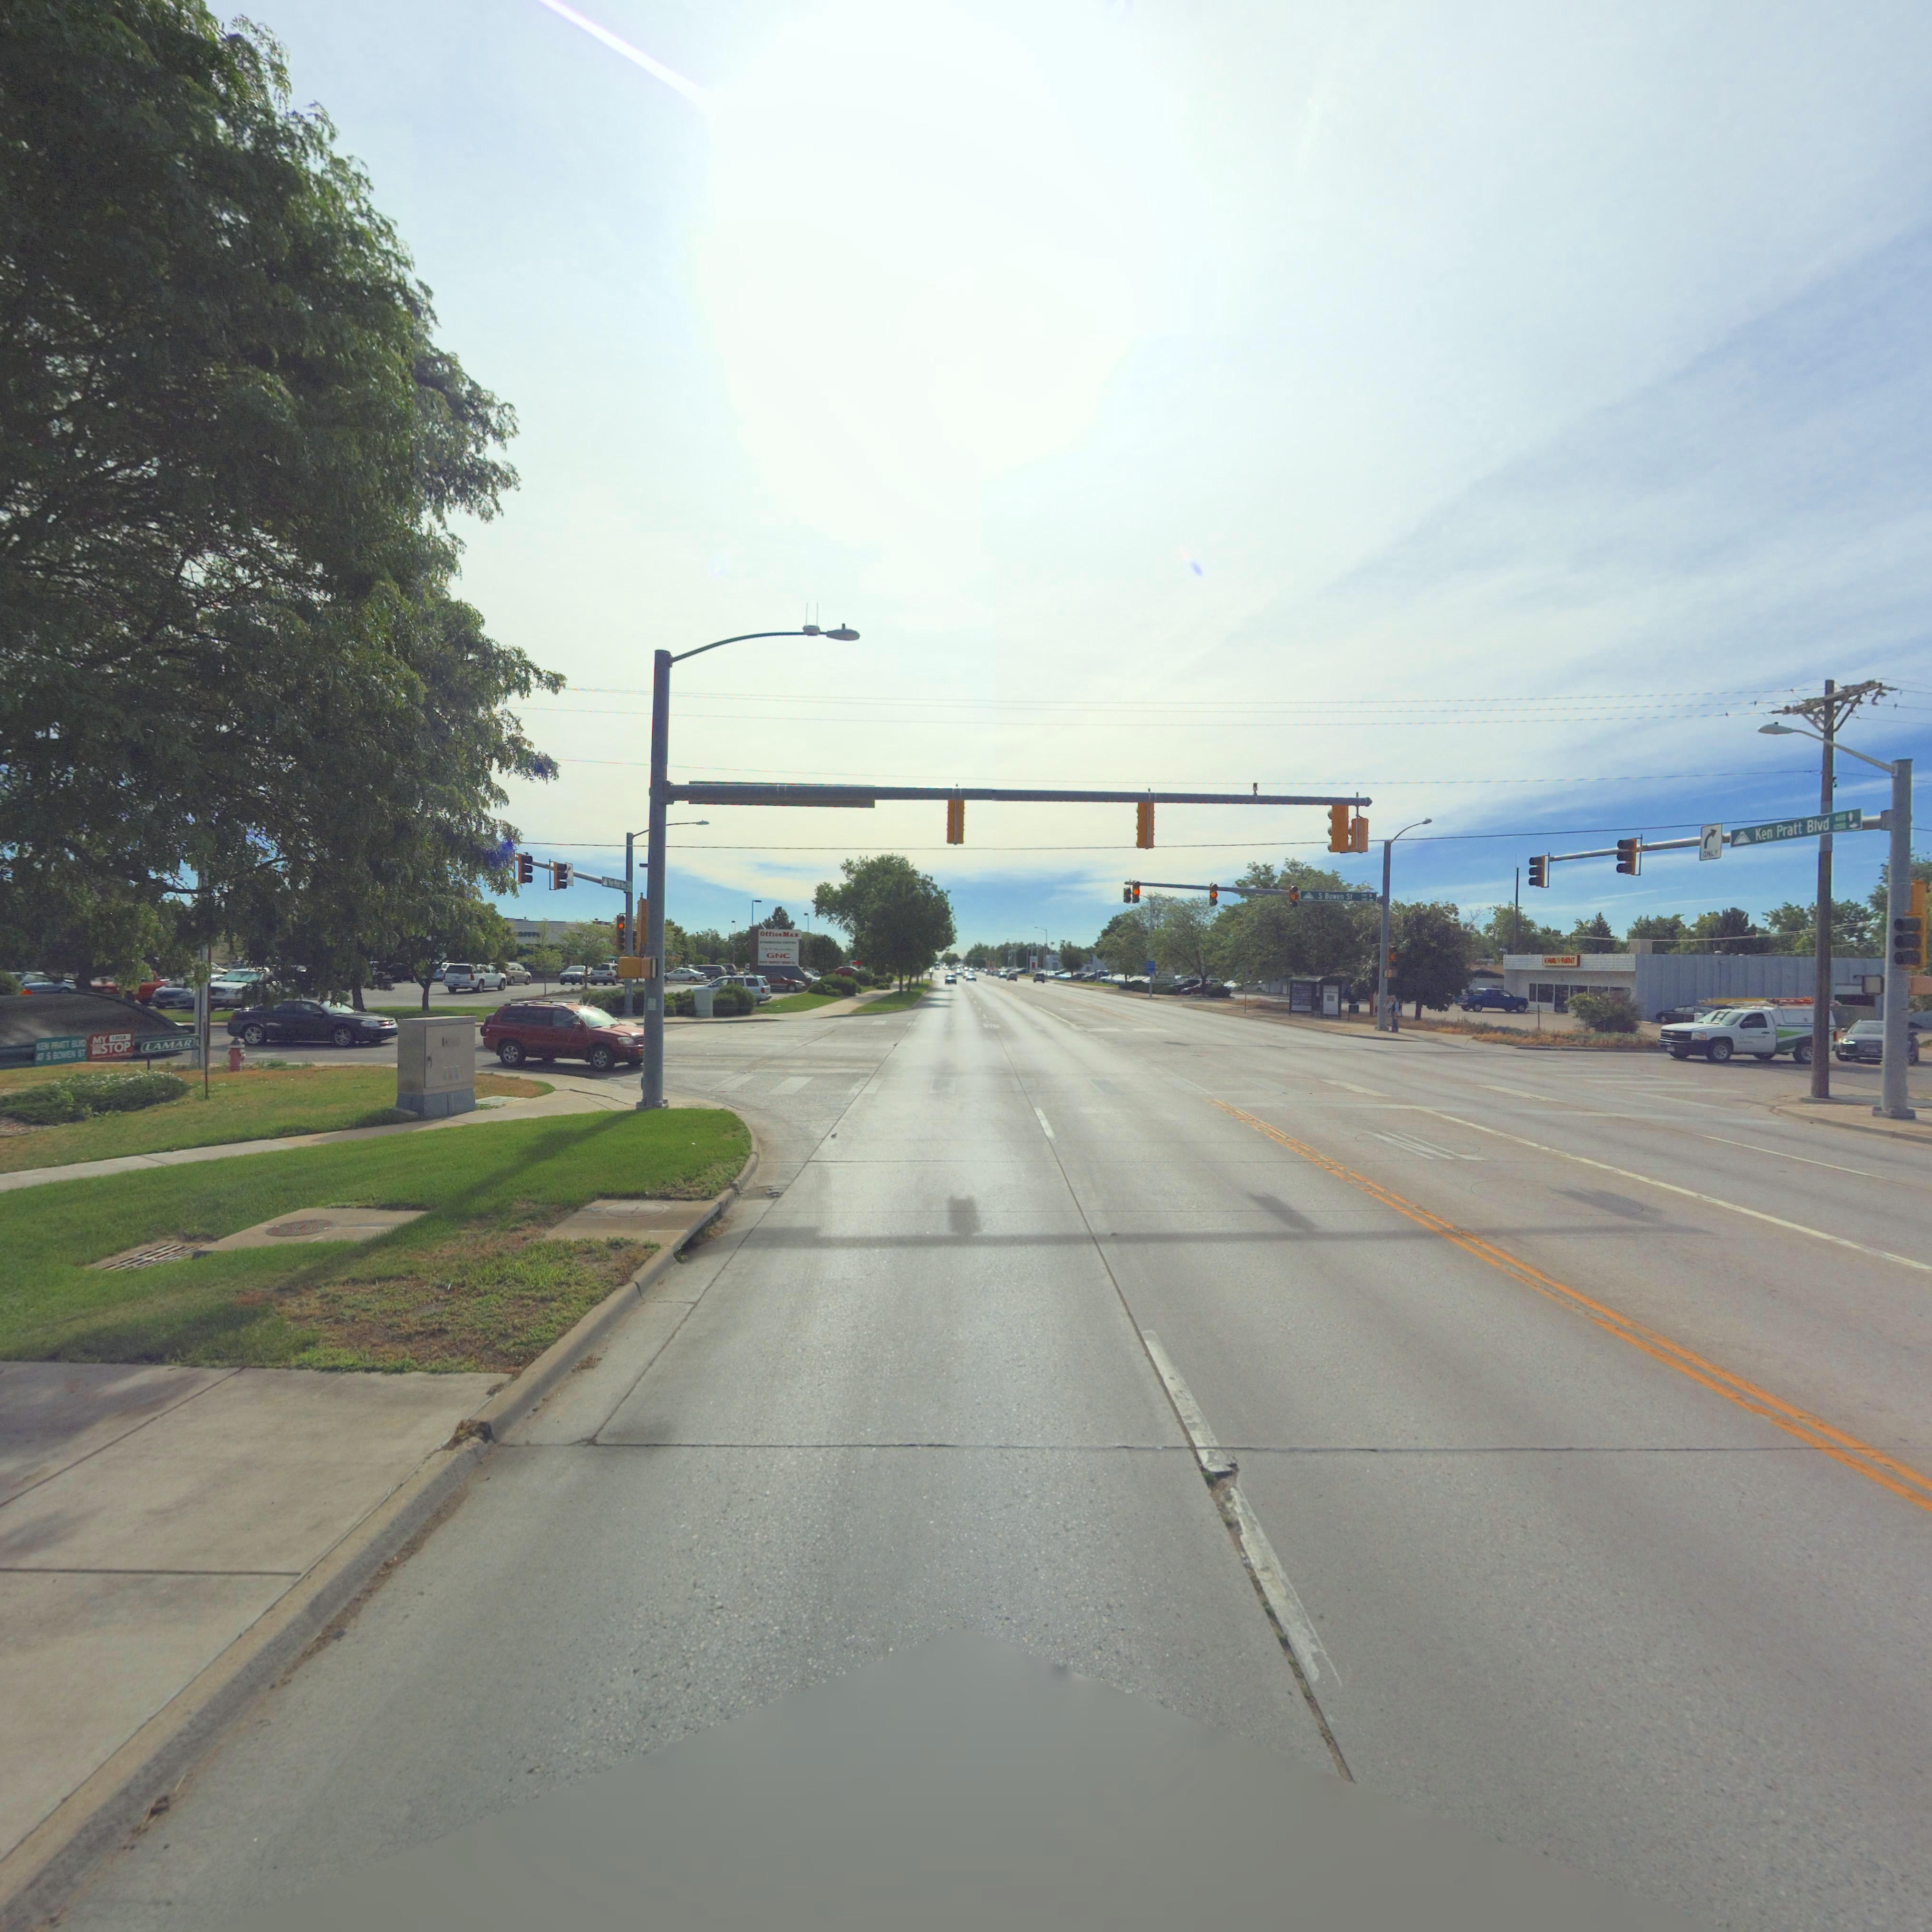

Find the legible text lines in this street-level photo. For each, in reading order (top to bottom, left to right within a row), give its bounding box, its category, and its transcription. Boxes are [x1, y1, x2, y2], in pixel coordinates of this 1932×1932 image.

[1835, 813, 1846, 822] StreetNumberRange: 600
[1755, 816, 1829, 840] StreetName: Ken Pratt Blvd
[1833, 821, 1846, 831] StreetNumberRange: 1200
[609, 878, 626, 889] StreetName: *e* P**** B***
[1318, 892, 1353, 900] StreetName: S Bowen St
[1361, 897, 1367, 901] StreetNumberRange: *00
[1361, 893, 1367, 897] StreetNumberRange: ***0
[512, 931, 541, 937] BusinessName: *OFF**
[760, 931, 799, 937] BusinessName: Offic*M*x
[759, 940, 796, 944] BusinessName: ST****C*S ******
[761, 945, 773, 951] BusinessName: C*******
[766, 953, 790, 958] BusinessName: GNC
[759, 960, 795, 964] BusinessName: ***AT ***V*** ***** C*
[1544, 956, 1575, 964] BusinessName: K***L * PA*NT